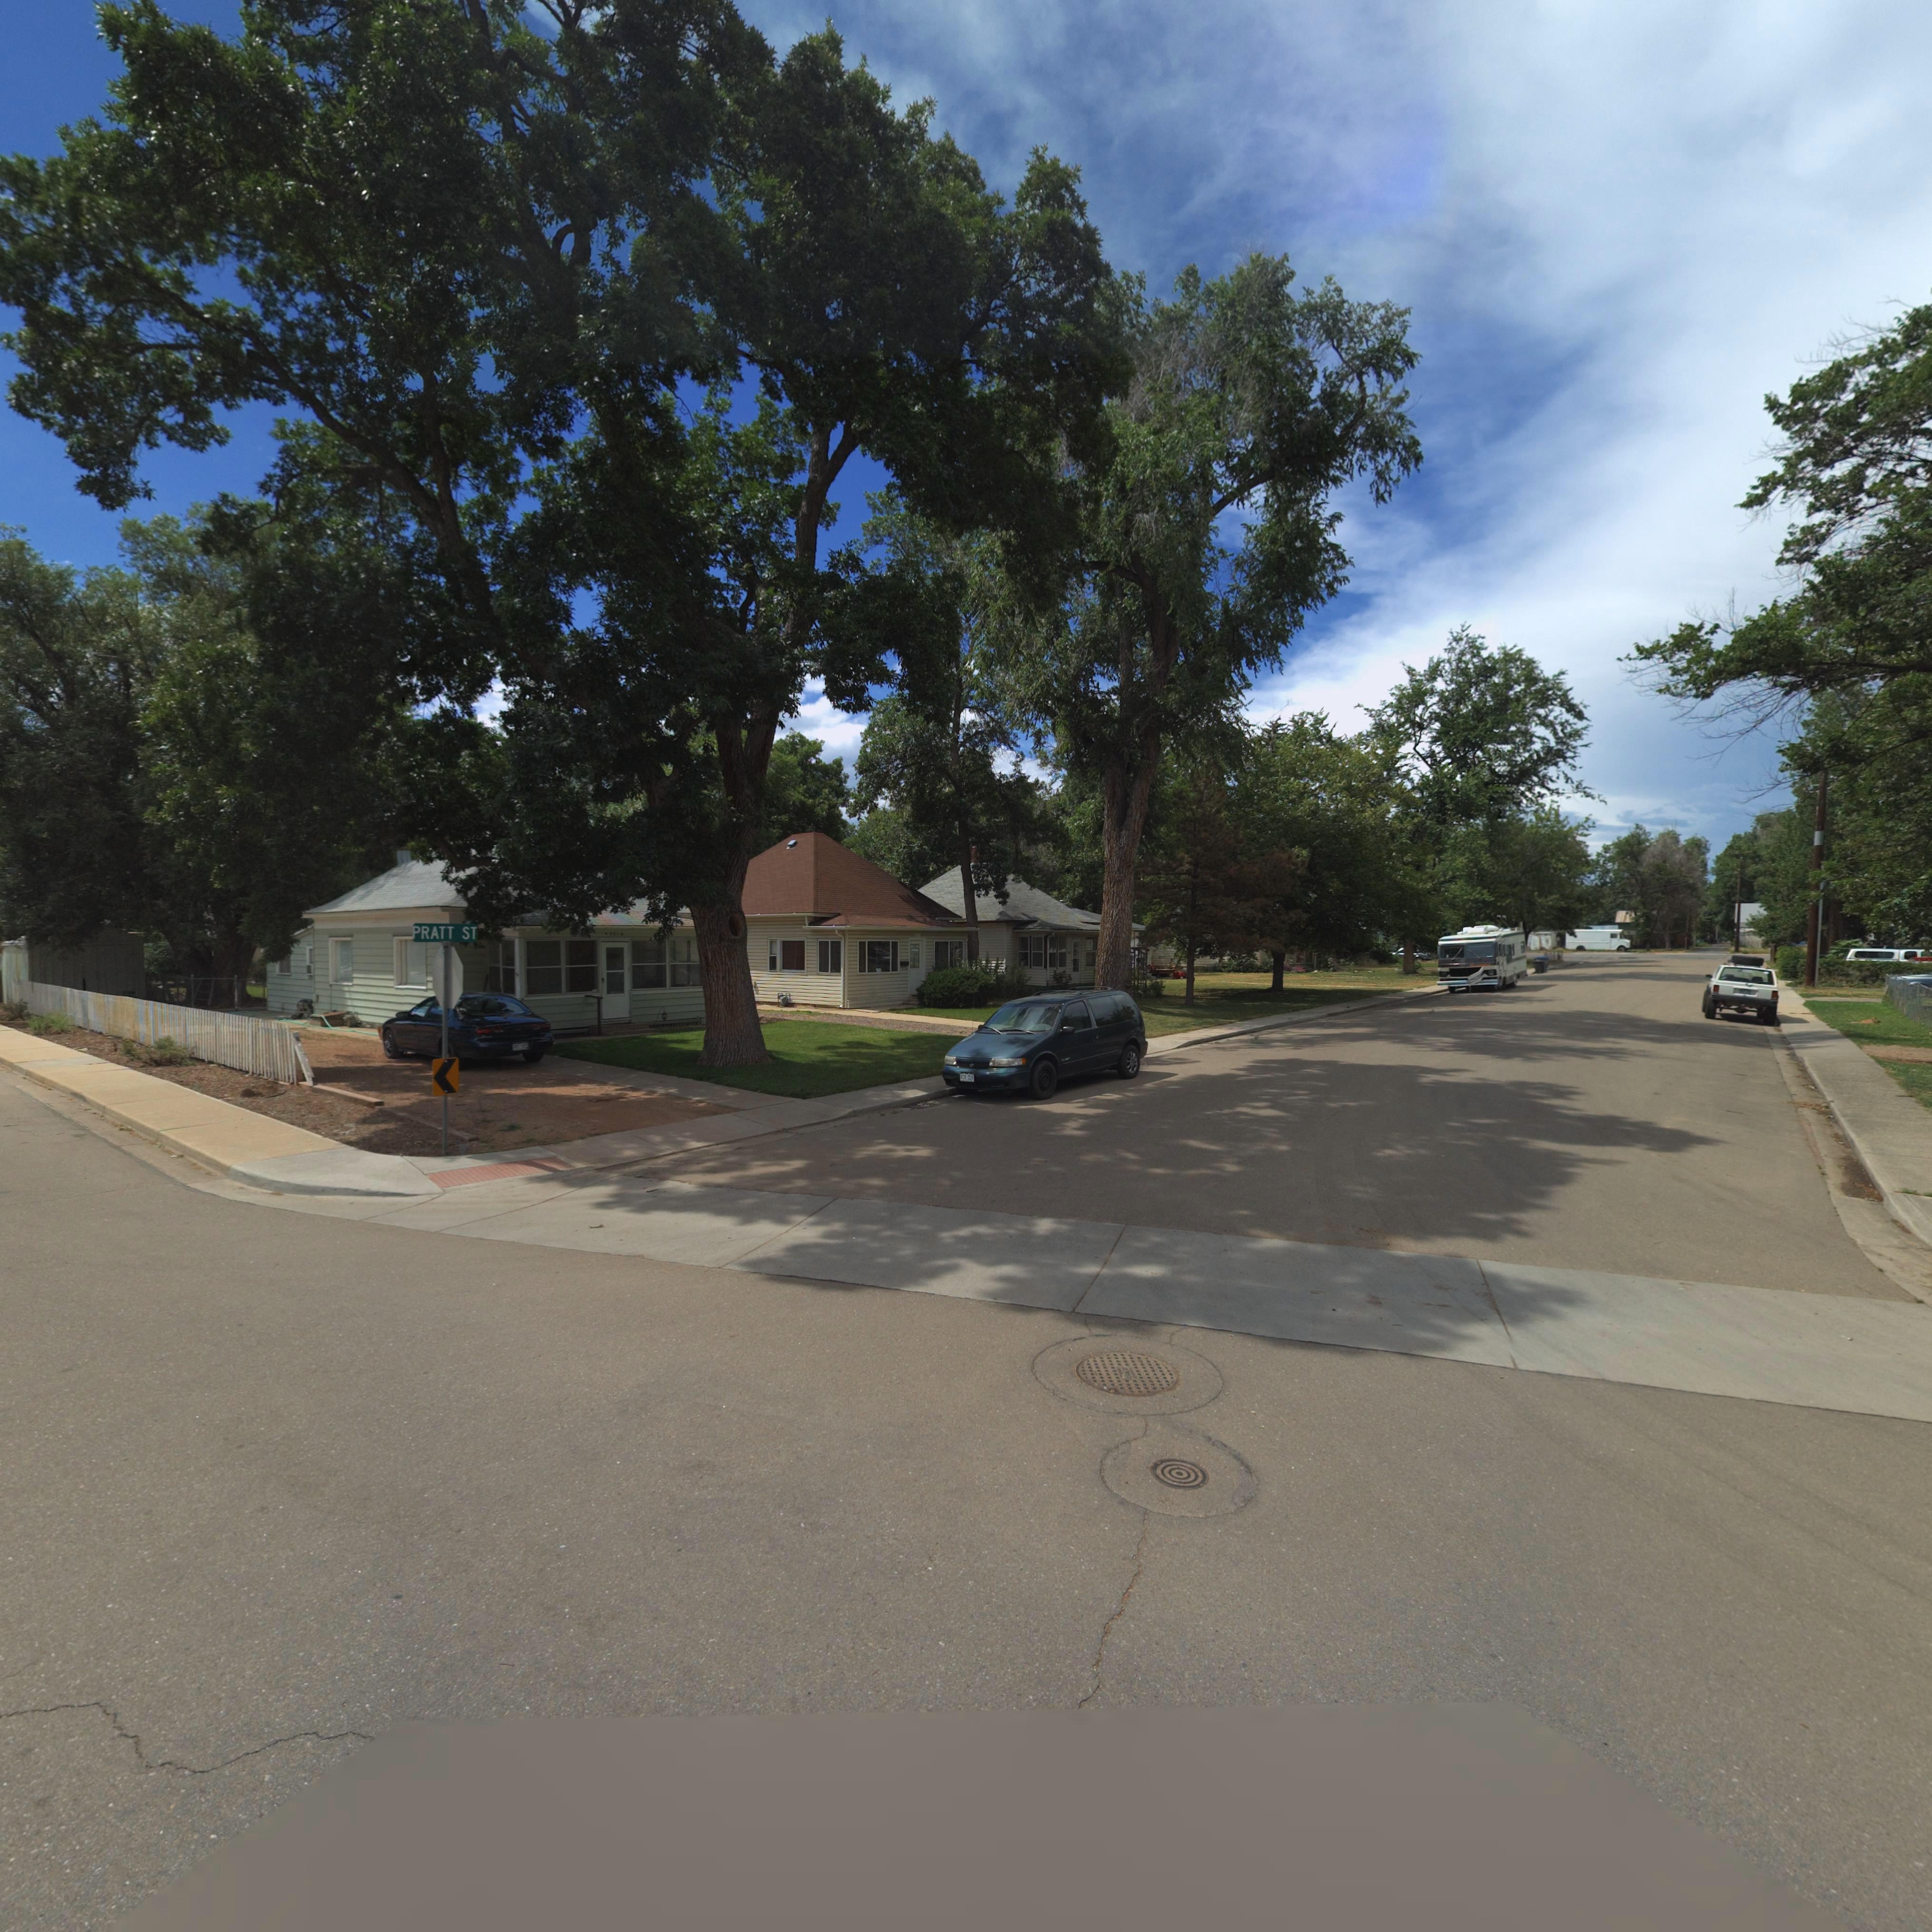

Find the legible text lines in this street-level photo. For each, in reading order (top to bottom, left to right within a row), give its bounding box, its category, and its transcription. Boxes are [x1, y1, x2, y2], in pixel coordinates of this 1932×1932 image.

[412, 925, 477, 939] StreetName: PRATT ST
[609, 931, 619, 936] StreetNumber: *01